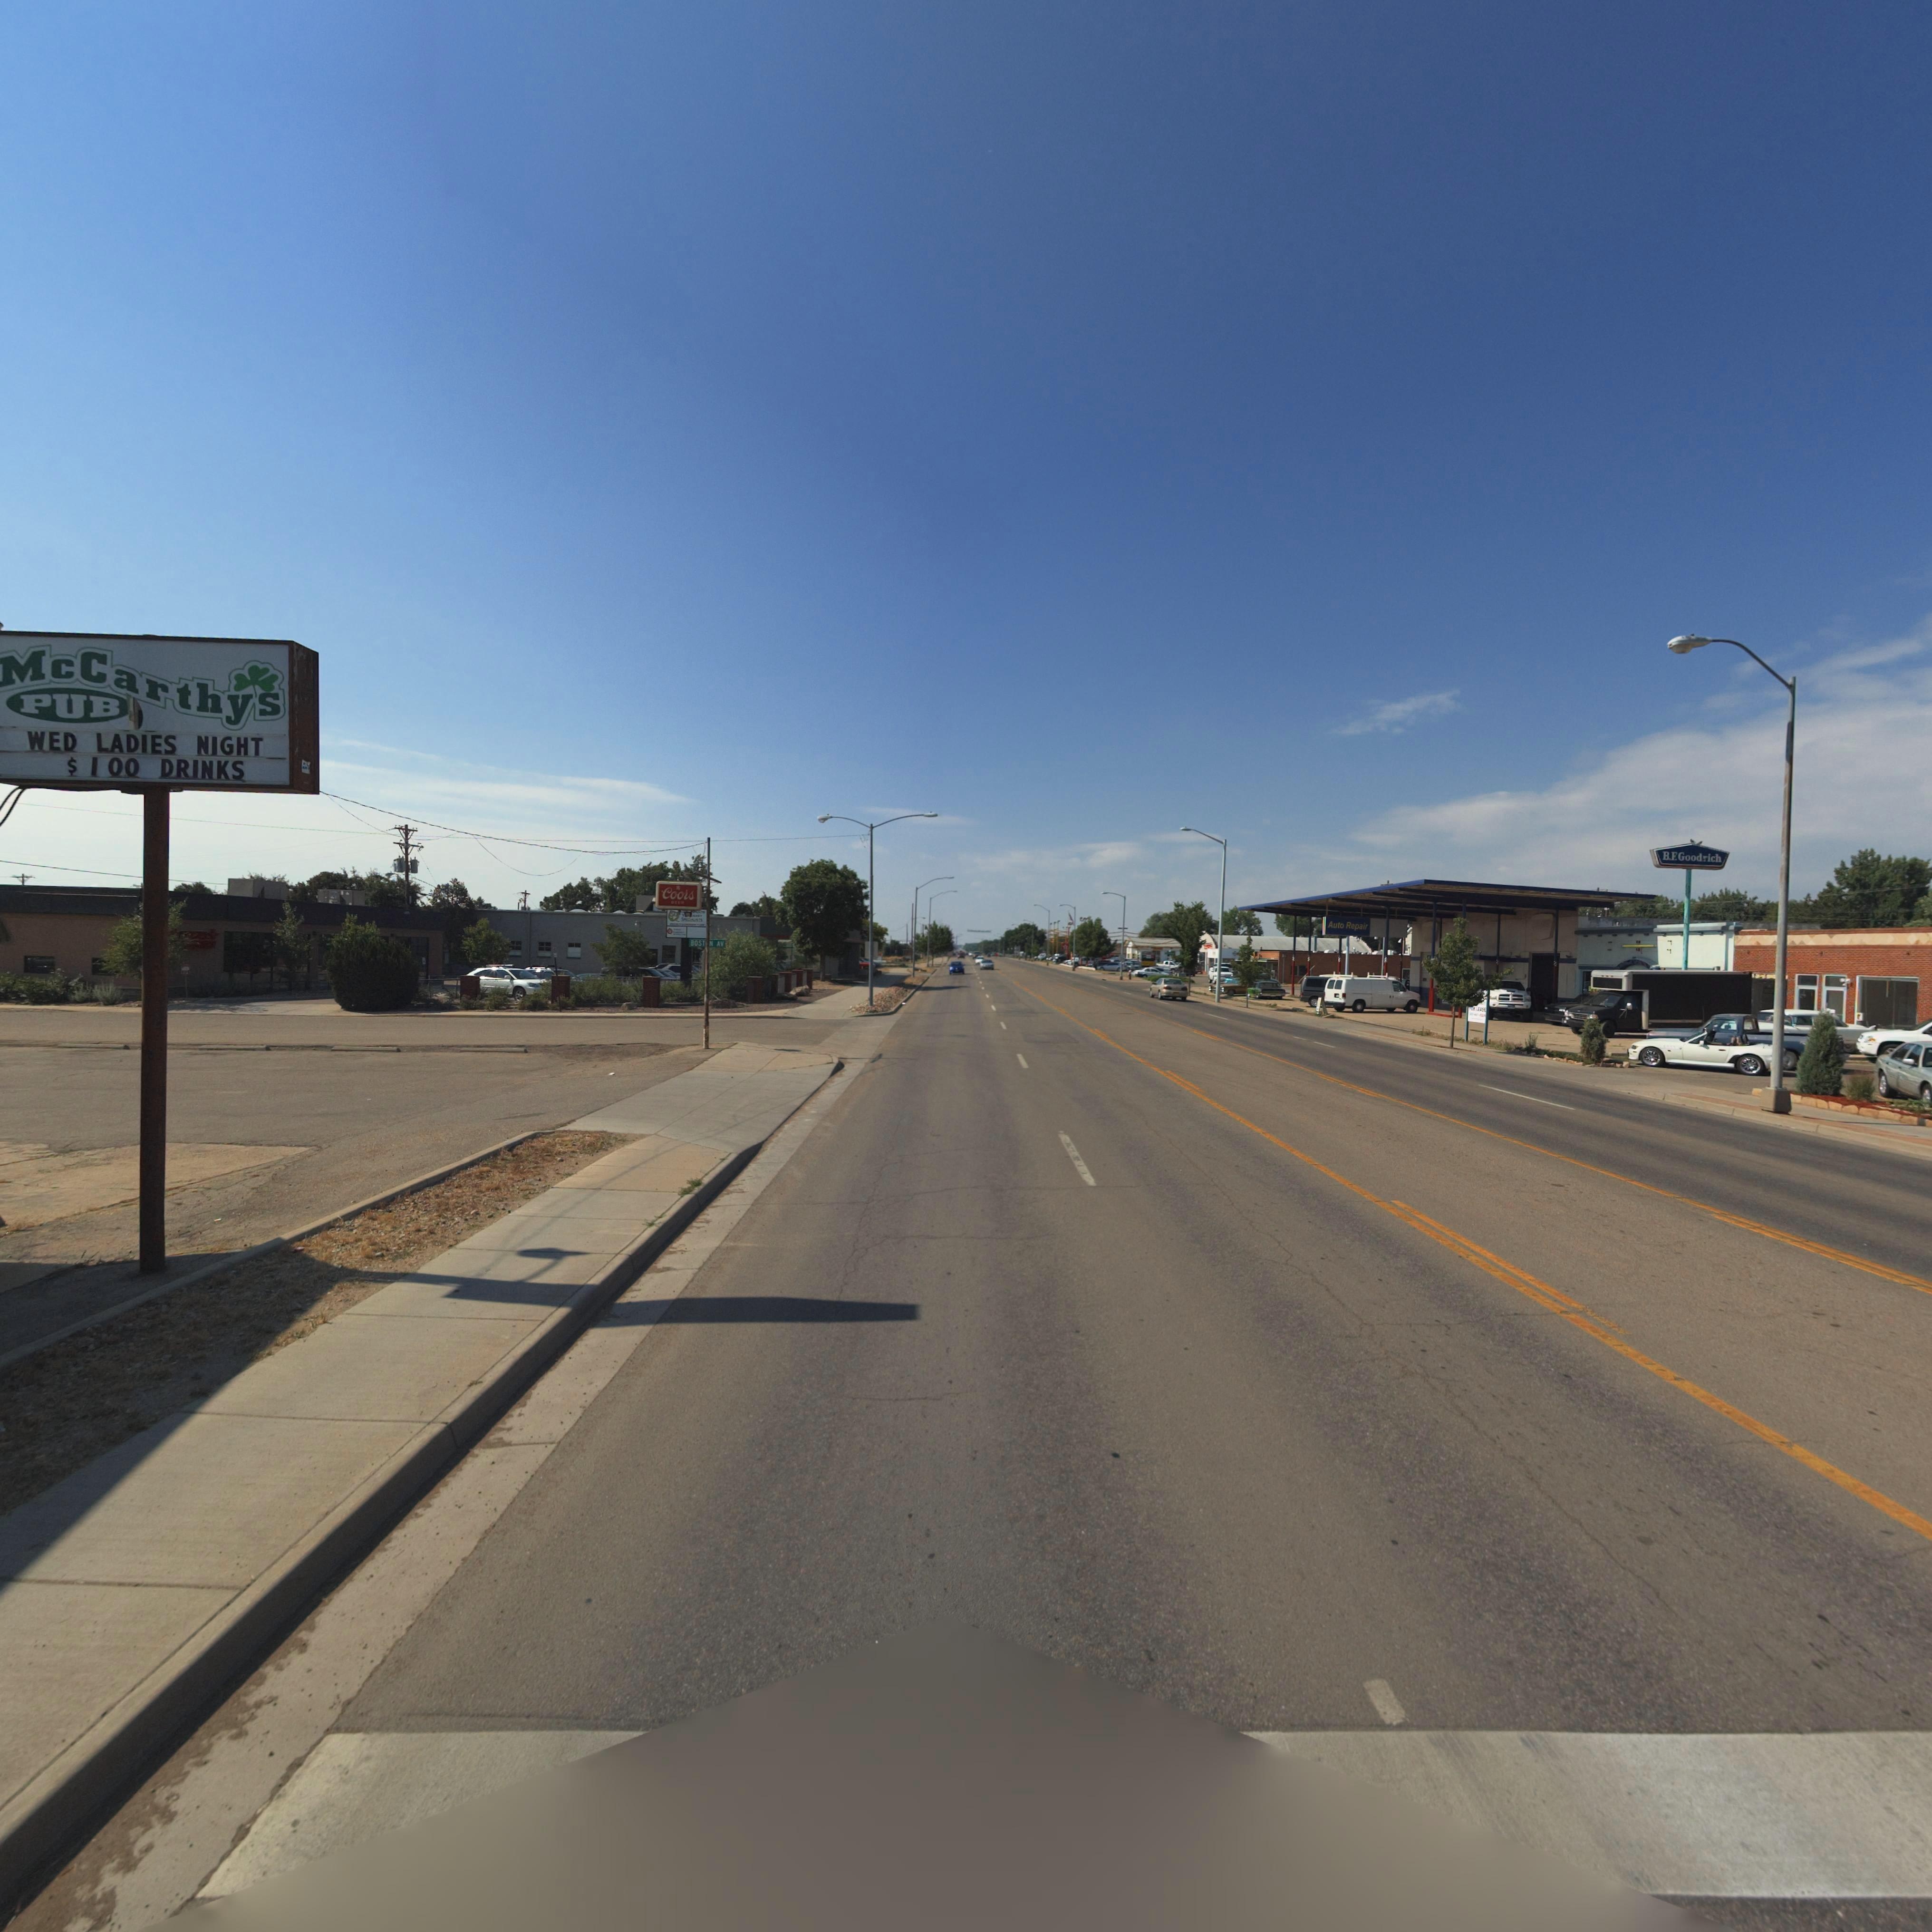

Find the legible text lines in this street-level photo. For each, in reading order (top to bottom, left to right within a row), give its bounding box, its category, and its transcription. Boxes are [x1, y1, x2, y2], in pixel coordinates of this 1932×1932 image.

[0, 648, 283, 726] BusinessName: McCarthys
[19, 693, 121, 719] BusinessName: PUB
[681, 917, 703, 921] None: S**********
[690, 940, 724, 947] StreetName: BOS**N AV